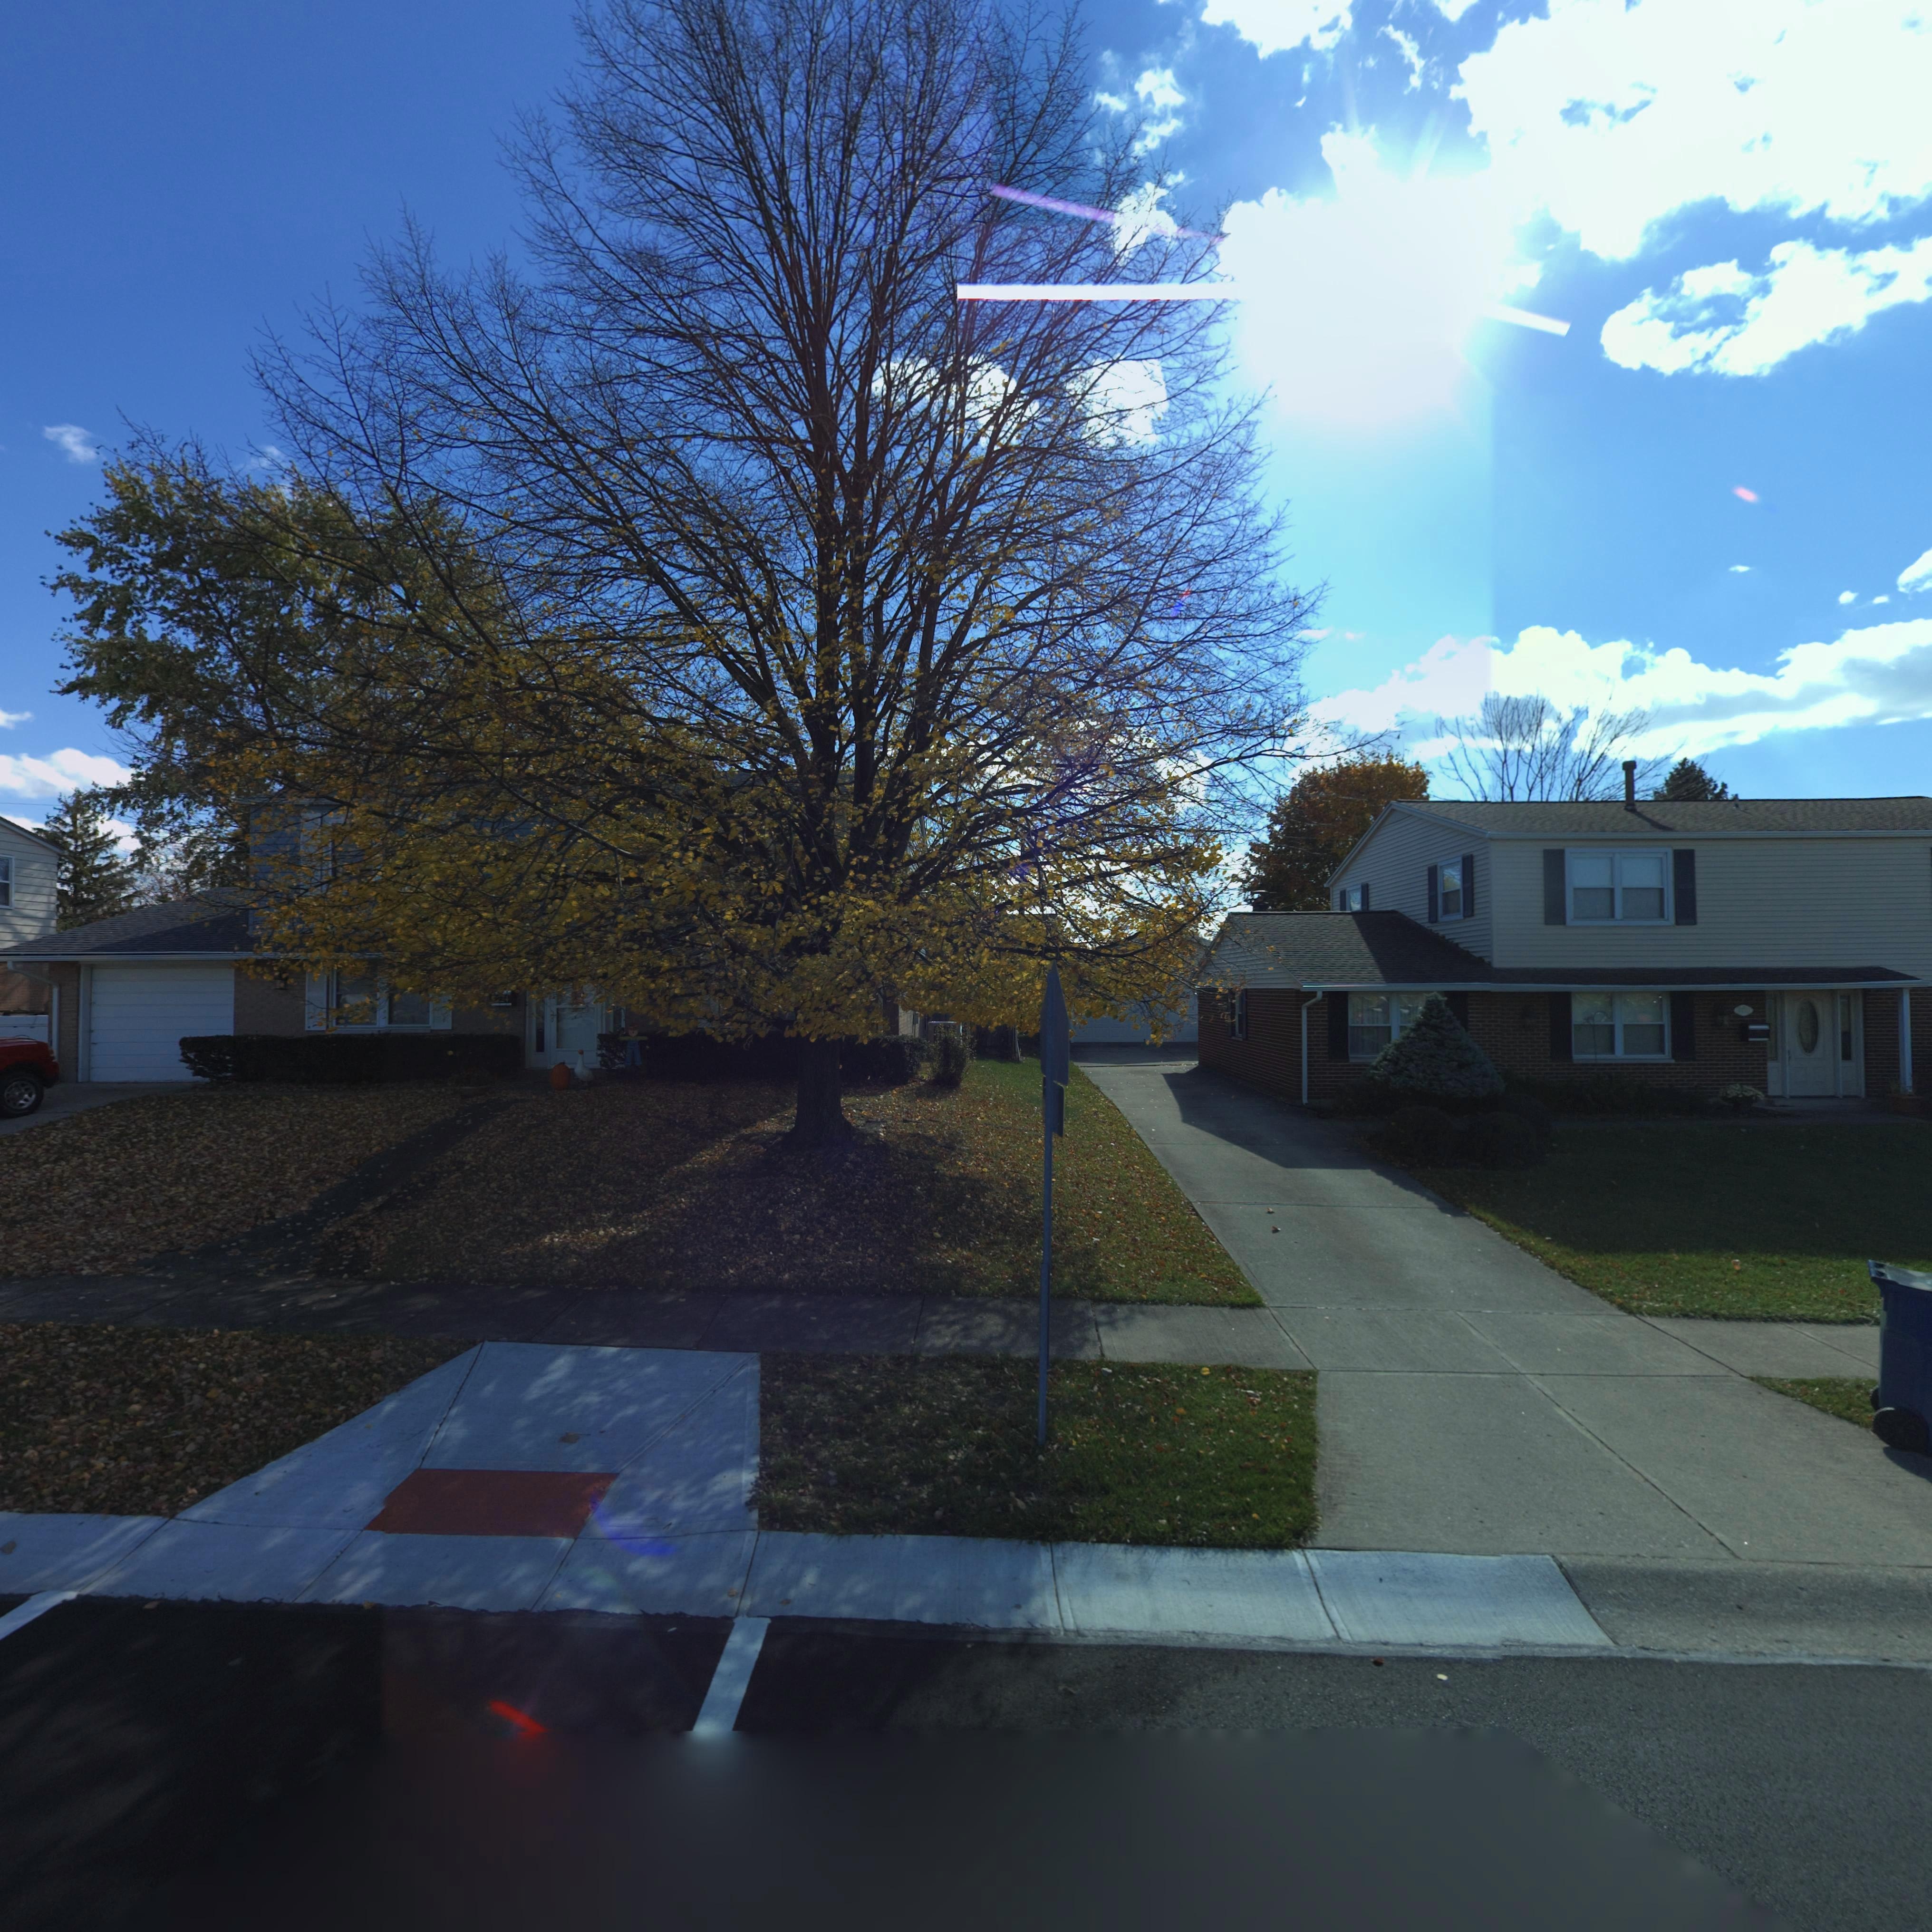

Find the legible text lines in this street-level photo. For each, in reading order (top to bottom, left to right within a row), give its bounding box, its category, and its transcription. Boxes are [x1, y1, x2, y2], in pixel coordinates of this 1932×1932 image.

[505, 995, 509, 1002] StreetNumber: 4
[1736, 1007, 1751, 1014] StreetNumber: 77**